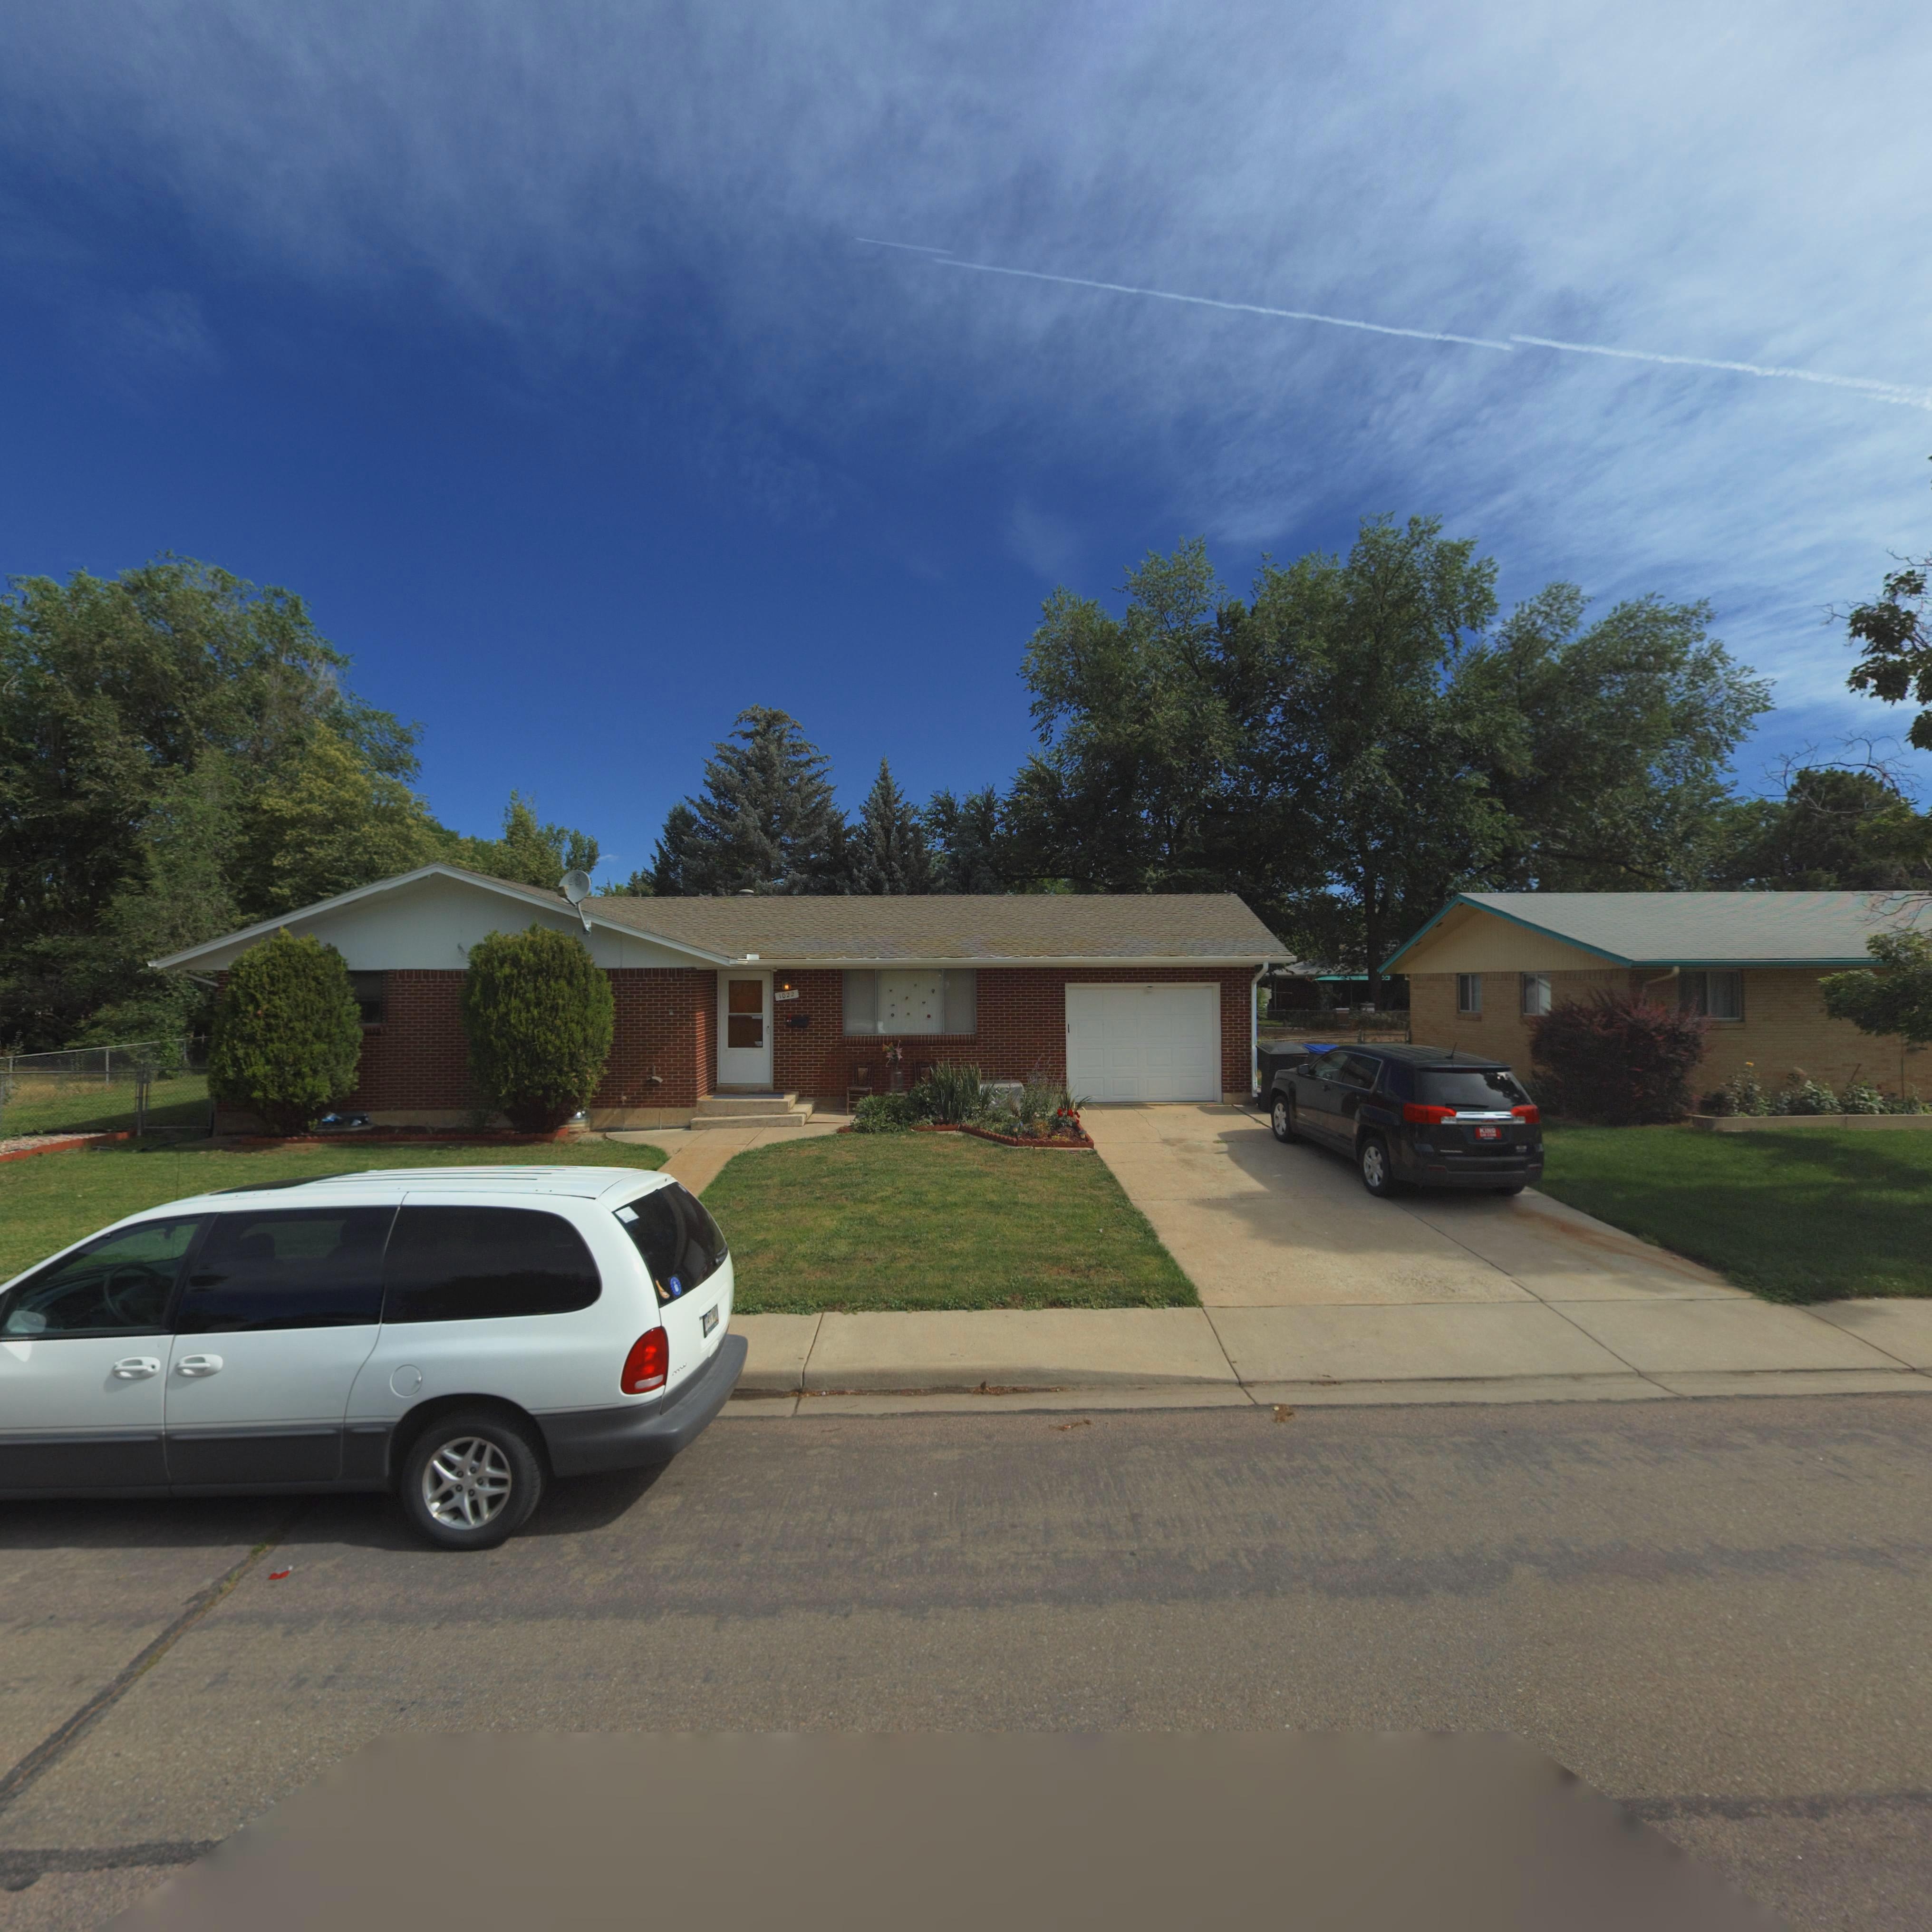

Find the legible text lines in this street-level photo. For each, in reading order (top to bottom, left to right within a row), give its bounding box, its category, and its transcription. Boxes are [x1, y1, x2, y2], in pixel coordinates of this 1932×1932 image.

[779, 991, 794, 999] StreetNumber: 1022